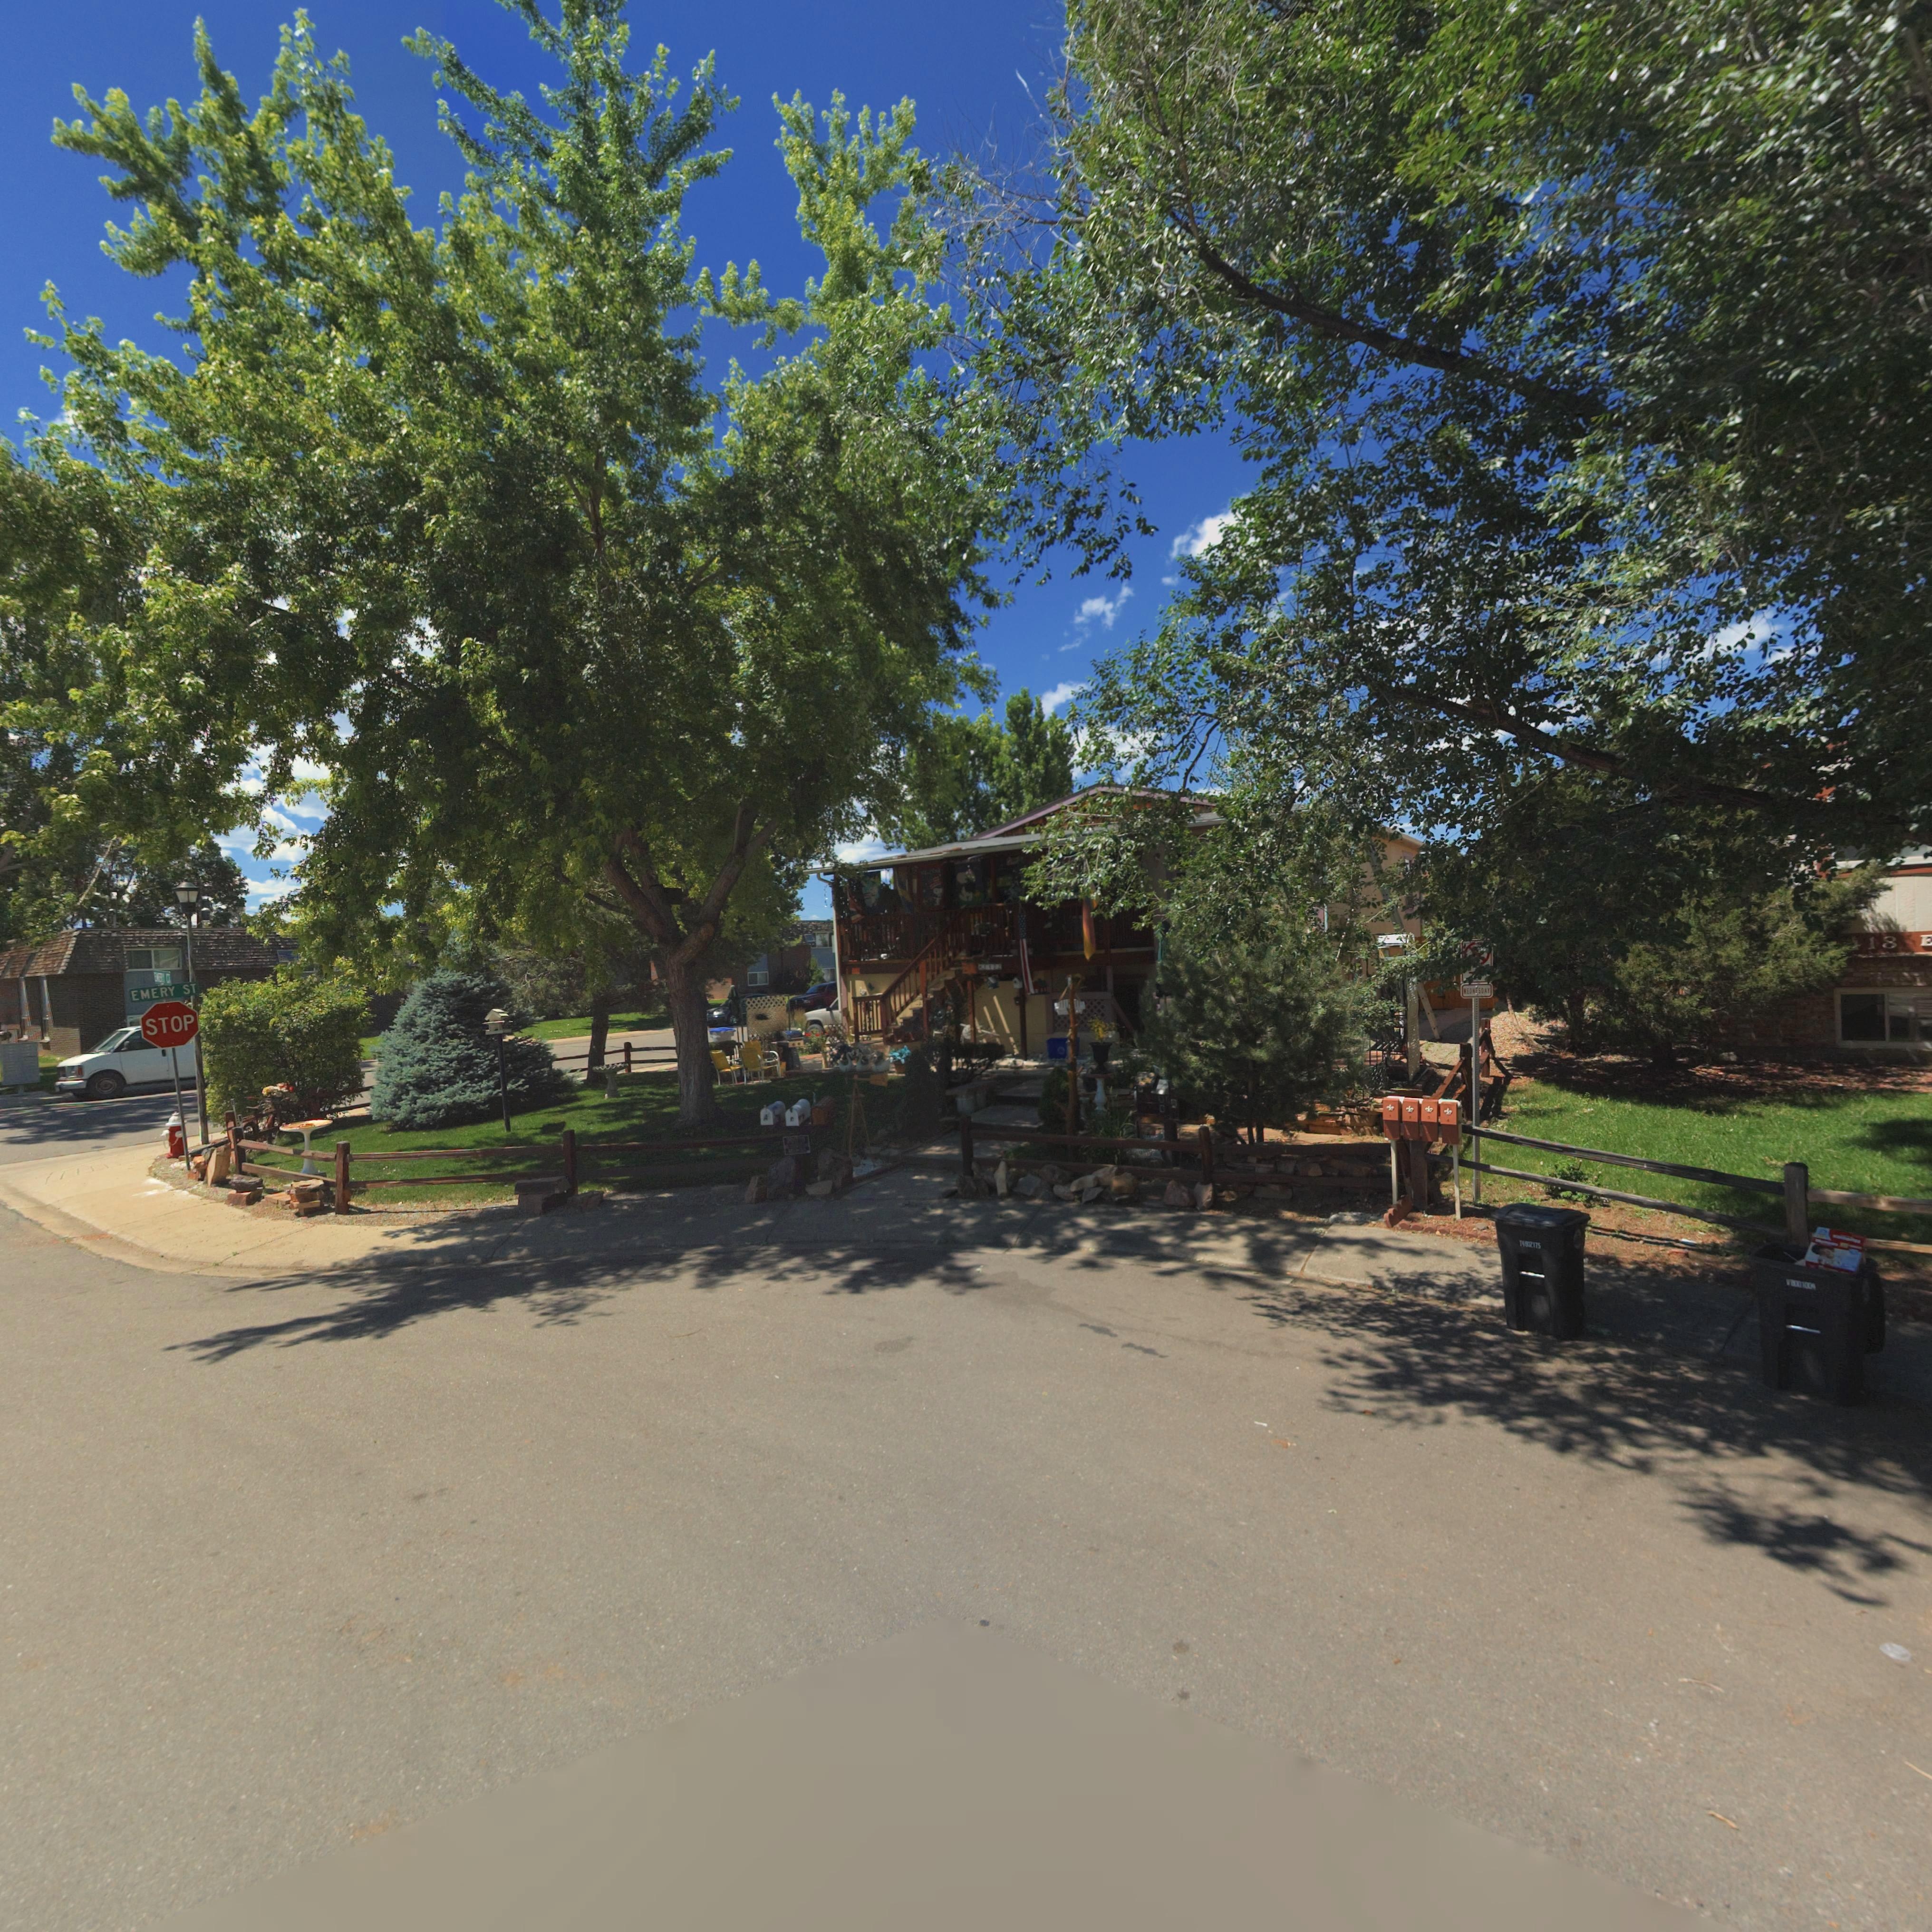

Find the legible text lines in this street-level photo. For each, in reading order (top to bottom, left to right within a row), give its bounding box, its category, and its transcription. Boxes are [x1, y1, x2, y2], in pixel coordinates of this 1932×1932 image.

[1868, 935, 1897, 950] StreetNumber: 18
[983, 963, 1001, 970] StreetNumber: 1422
[153, 971, 171, 983] StreetName: EMERY CT
[130, 983, 196, 1001] StreetName: EMERY ST